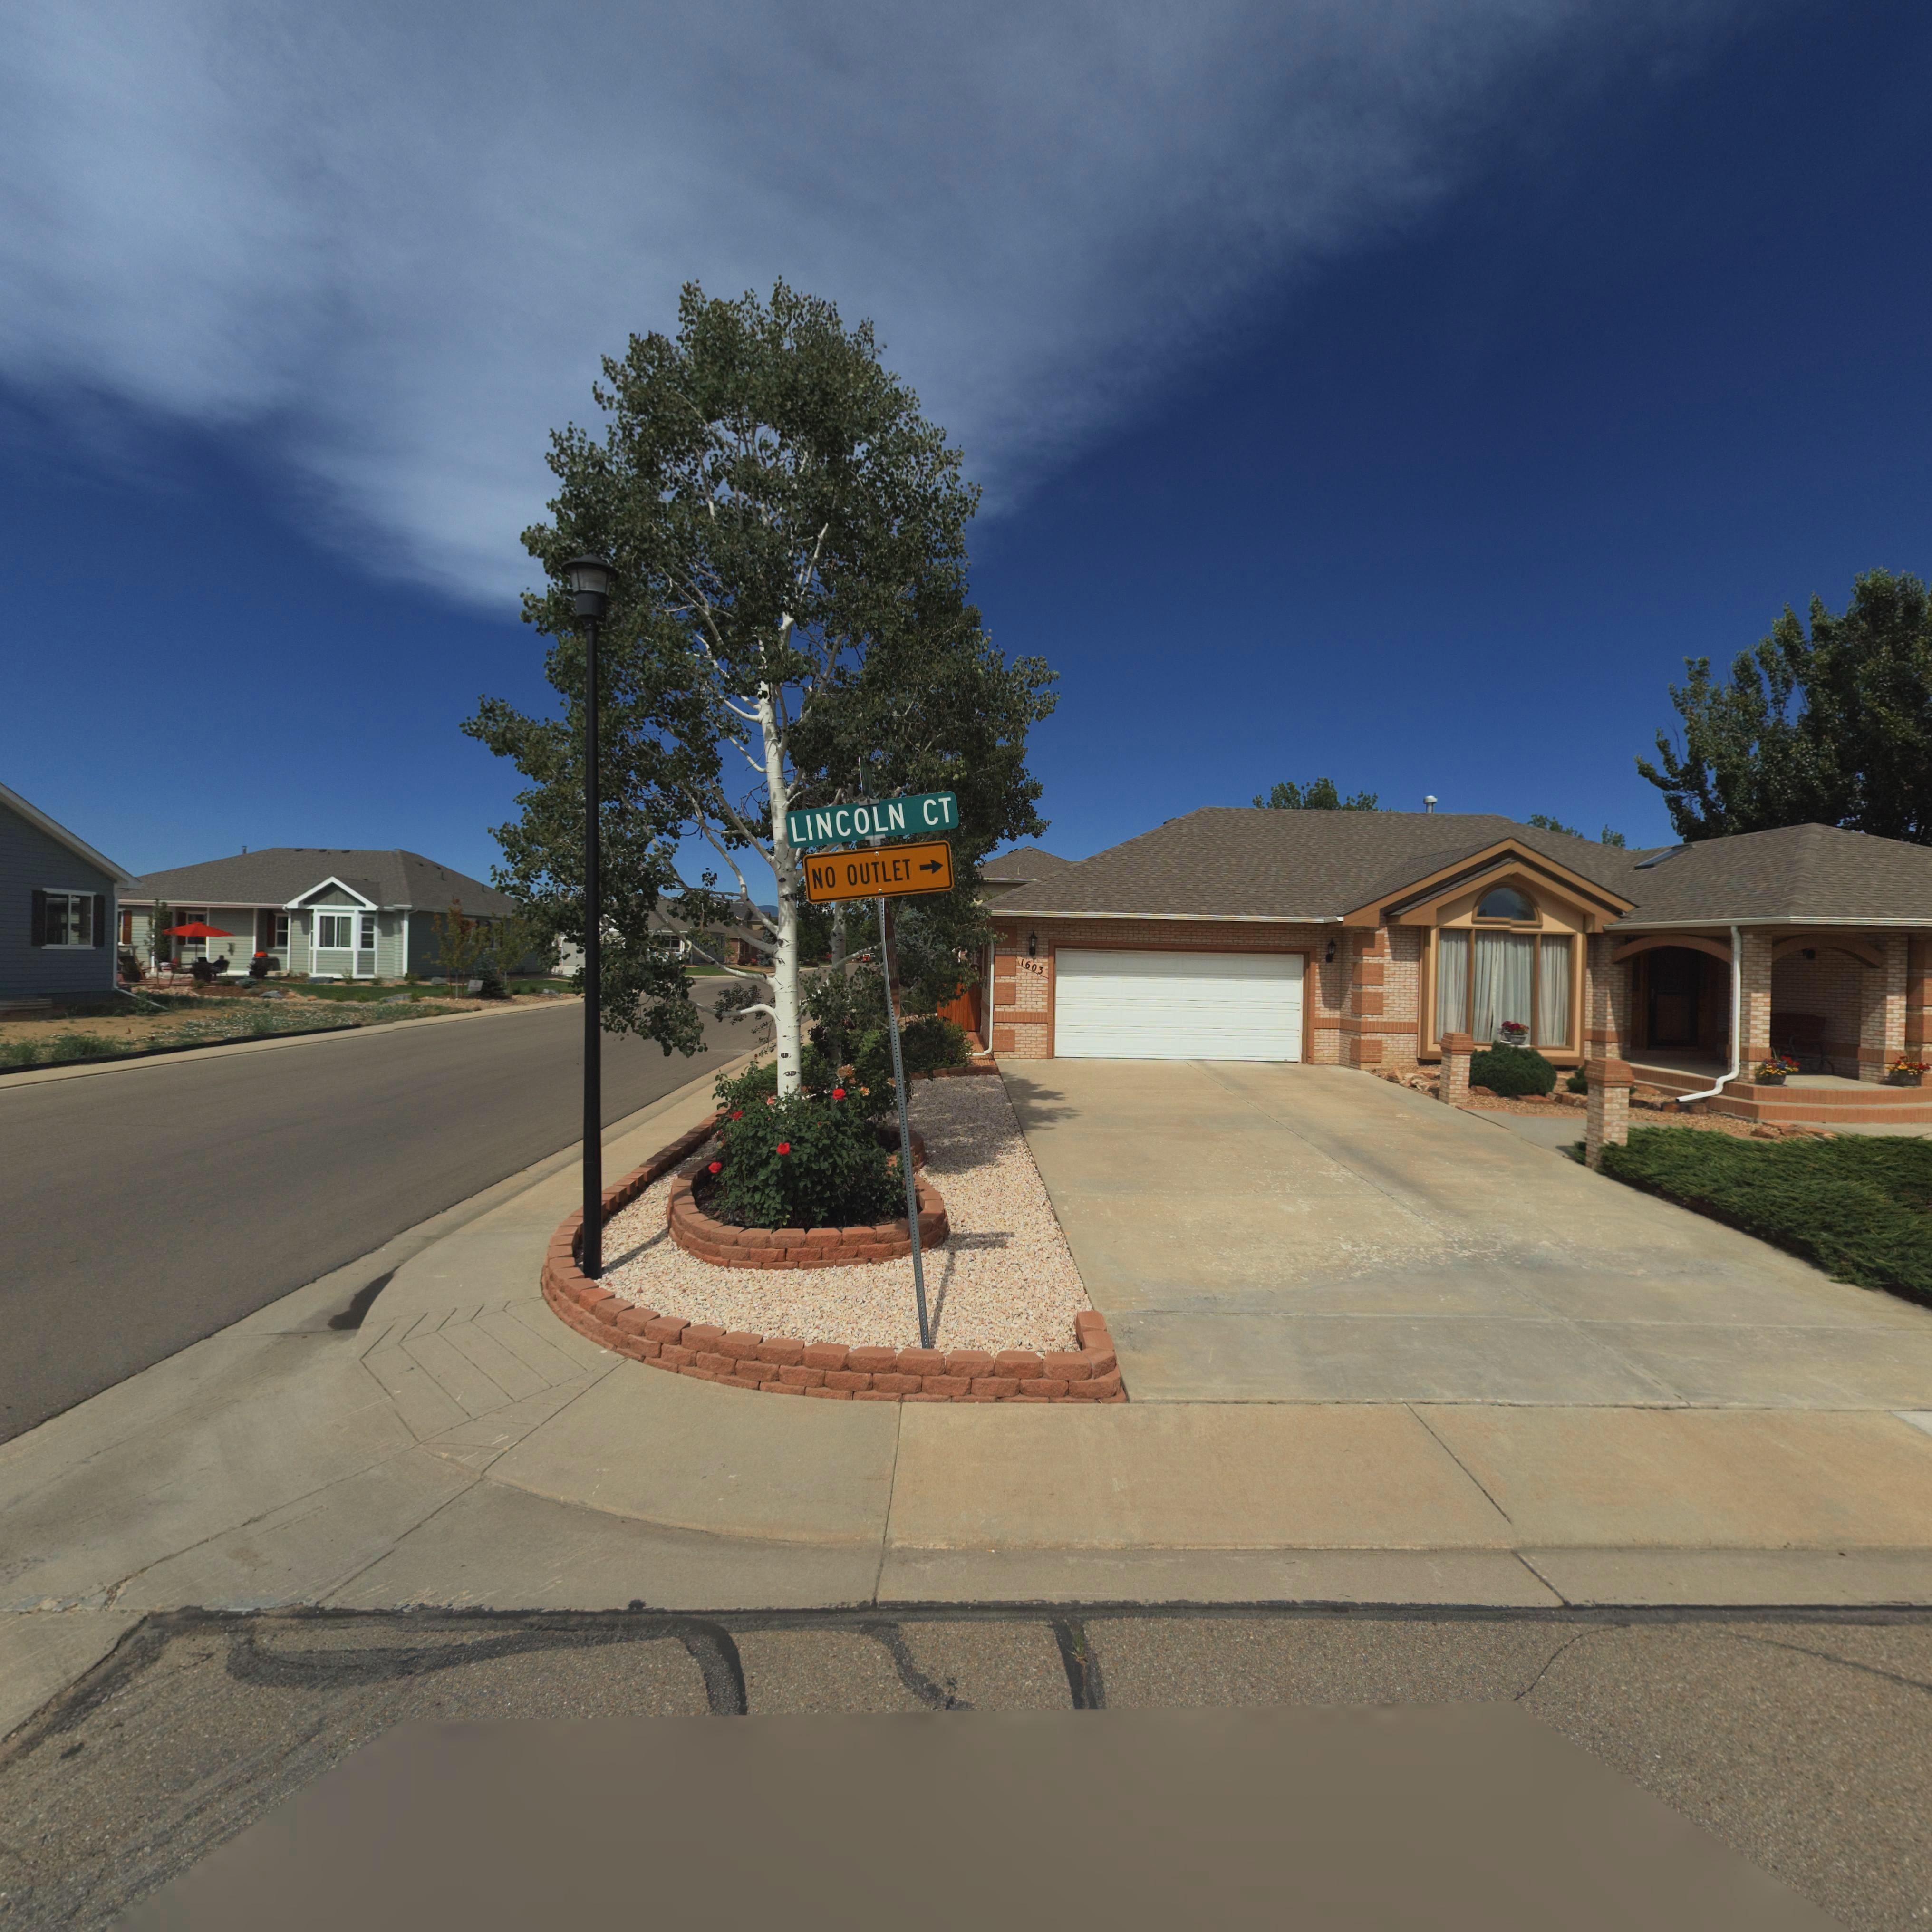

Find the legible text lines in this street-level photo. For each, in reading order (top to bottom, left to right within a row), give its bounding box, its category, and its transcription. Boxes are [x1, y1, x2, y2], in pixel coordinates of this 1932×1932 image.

[789, 796, 951, 843] StreetName: LINCOLN CT
[1020, 957, 1043, 975] StreetNumber: 1603